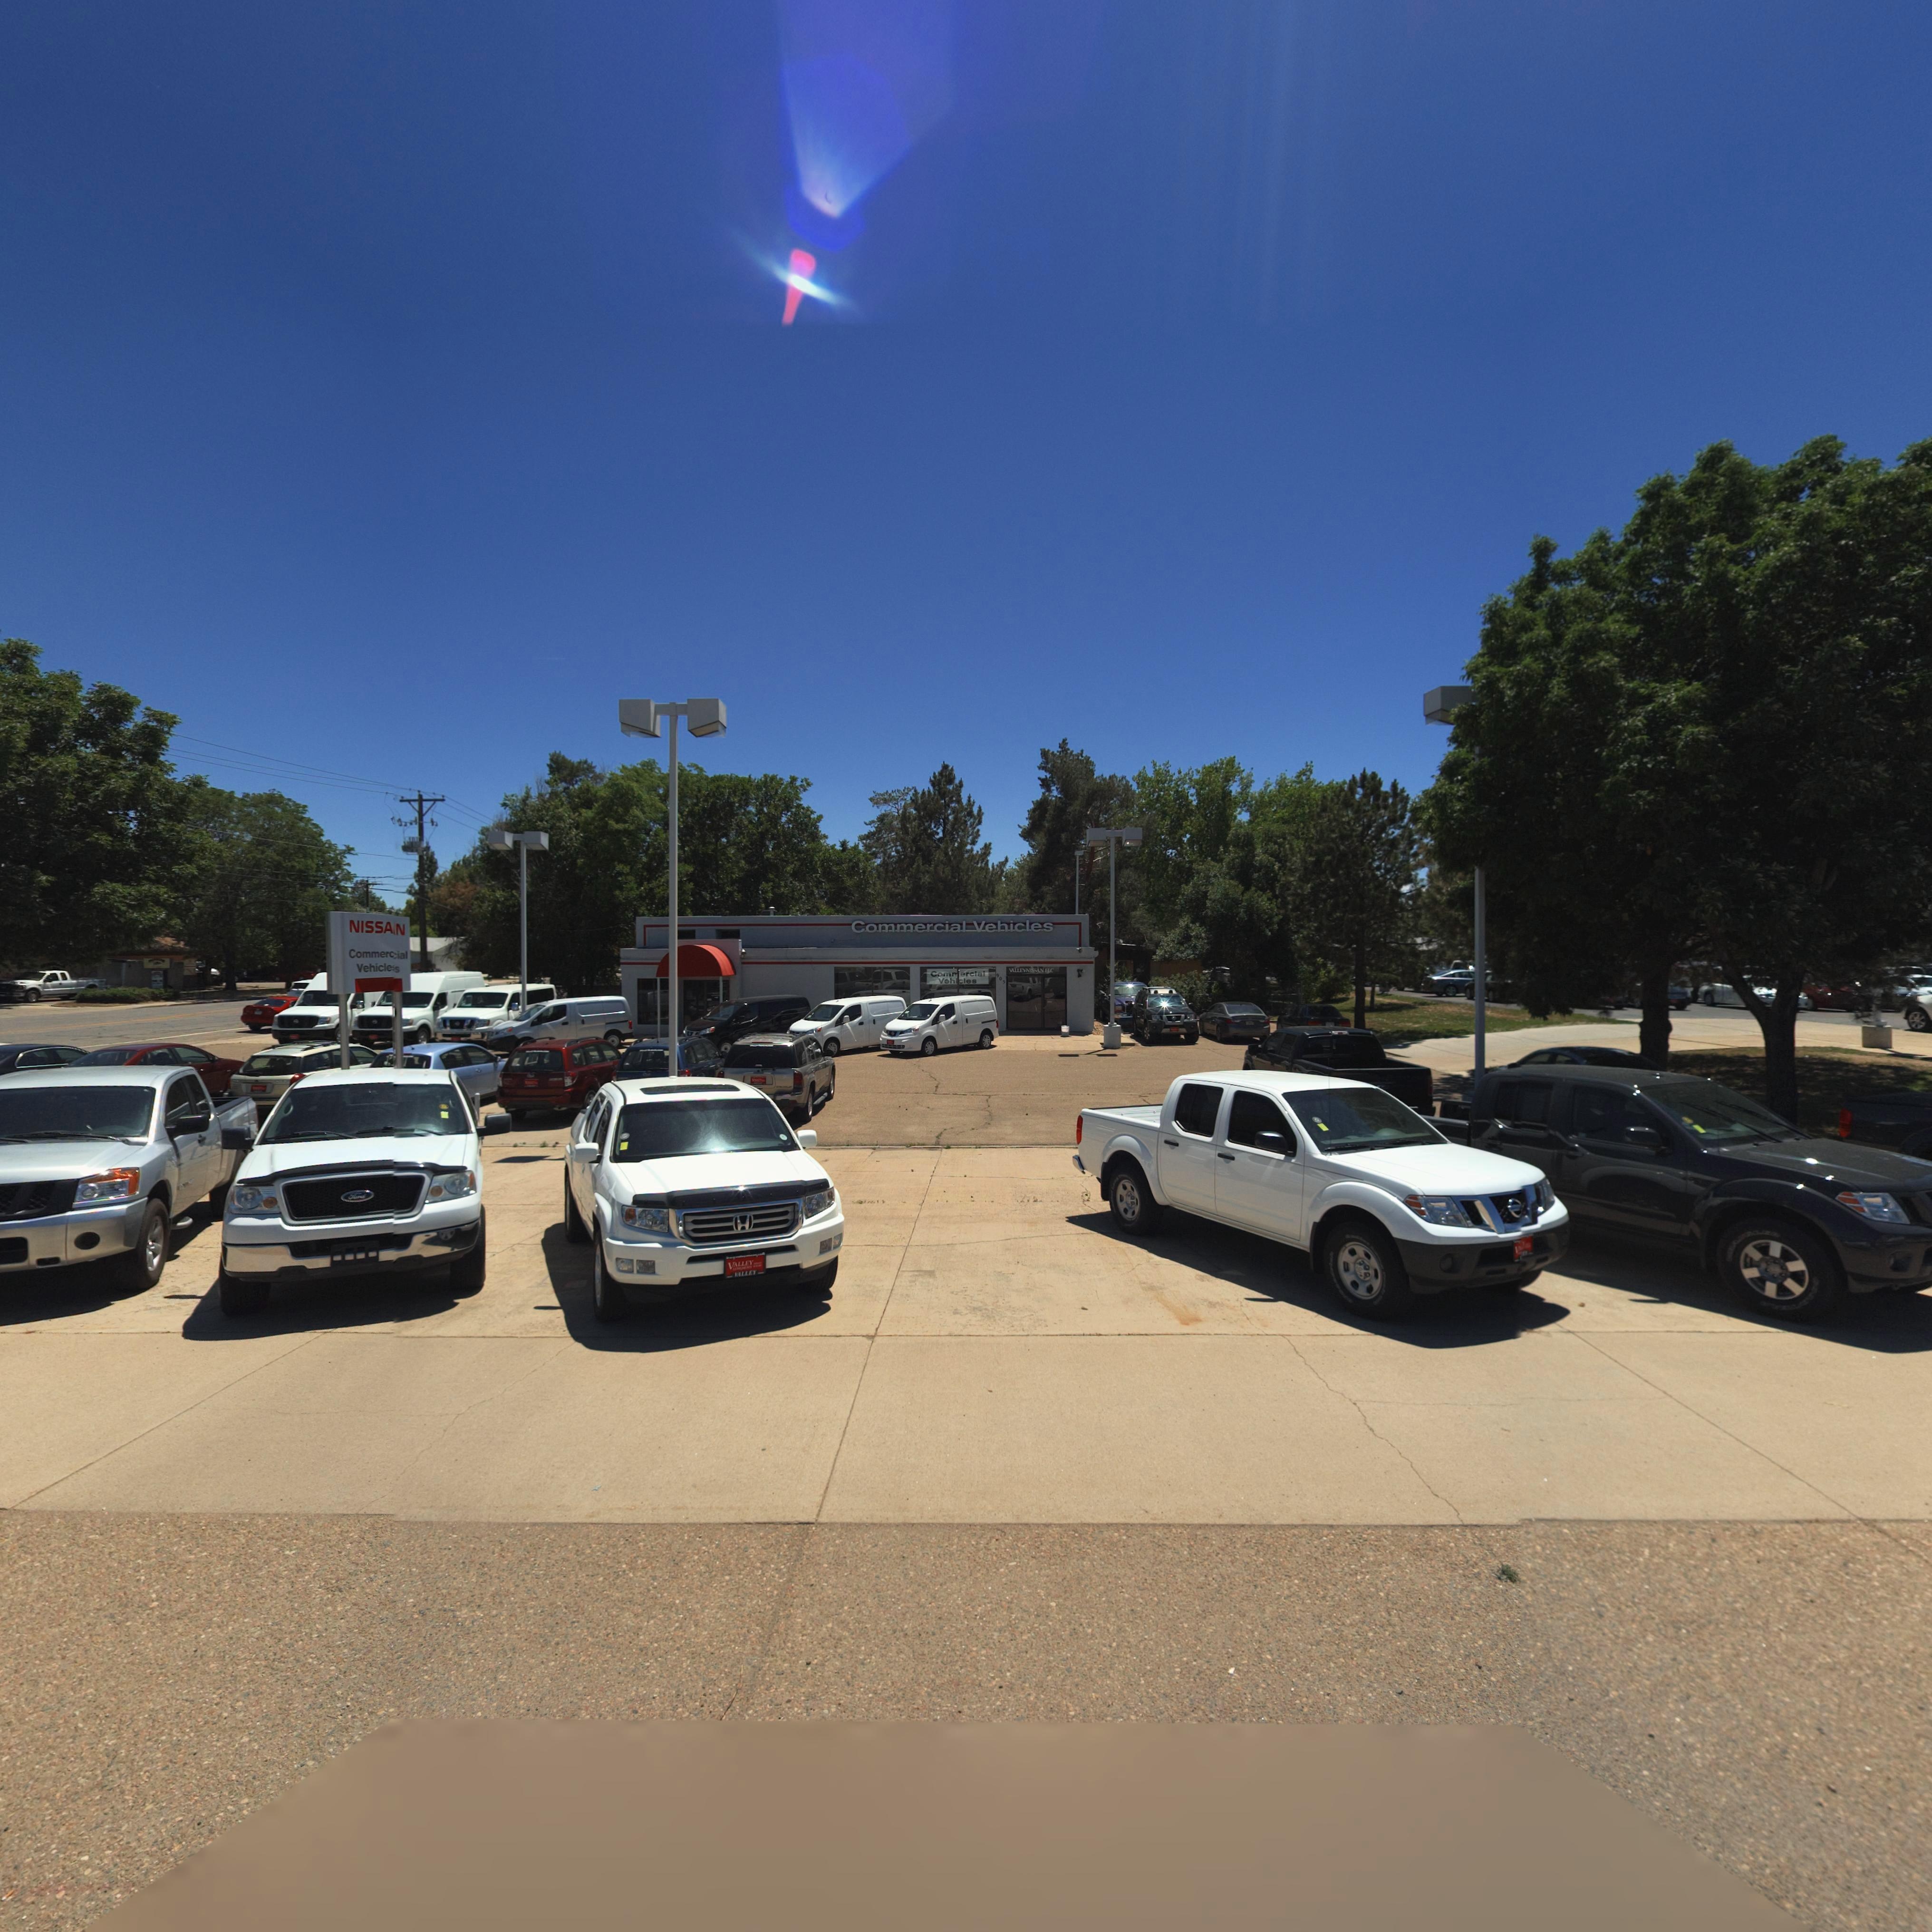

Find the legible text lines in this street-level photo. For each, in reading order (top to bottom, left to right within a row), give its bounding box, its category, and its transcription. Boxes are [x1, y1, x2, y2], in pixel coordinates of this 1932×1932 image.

[349, 919, 405, 936] BusinessName: NISSA*N
[850, 919, 1053, 934] BusinessName: Commercial Vehicles
[348, 948, 408, 959] BusinessName: Commer*ial
[356, 962, 400, 974] BusinessName: Vehicle*s
[937, 978, 976, 984] BusinessName: Vehicles
[930, 970, 985, 977] BusinessName: Commercial
[996, 973, 1005, 984] StreetNumber: 905
[1008, 967, 1055, 973] BusinessName: VALLEYNISSAN LLC